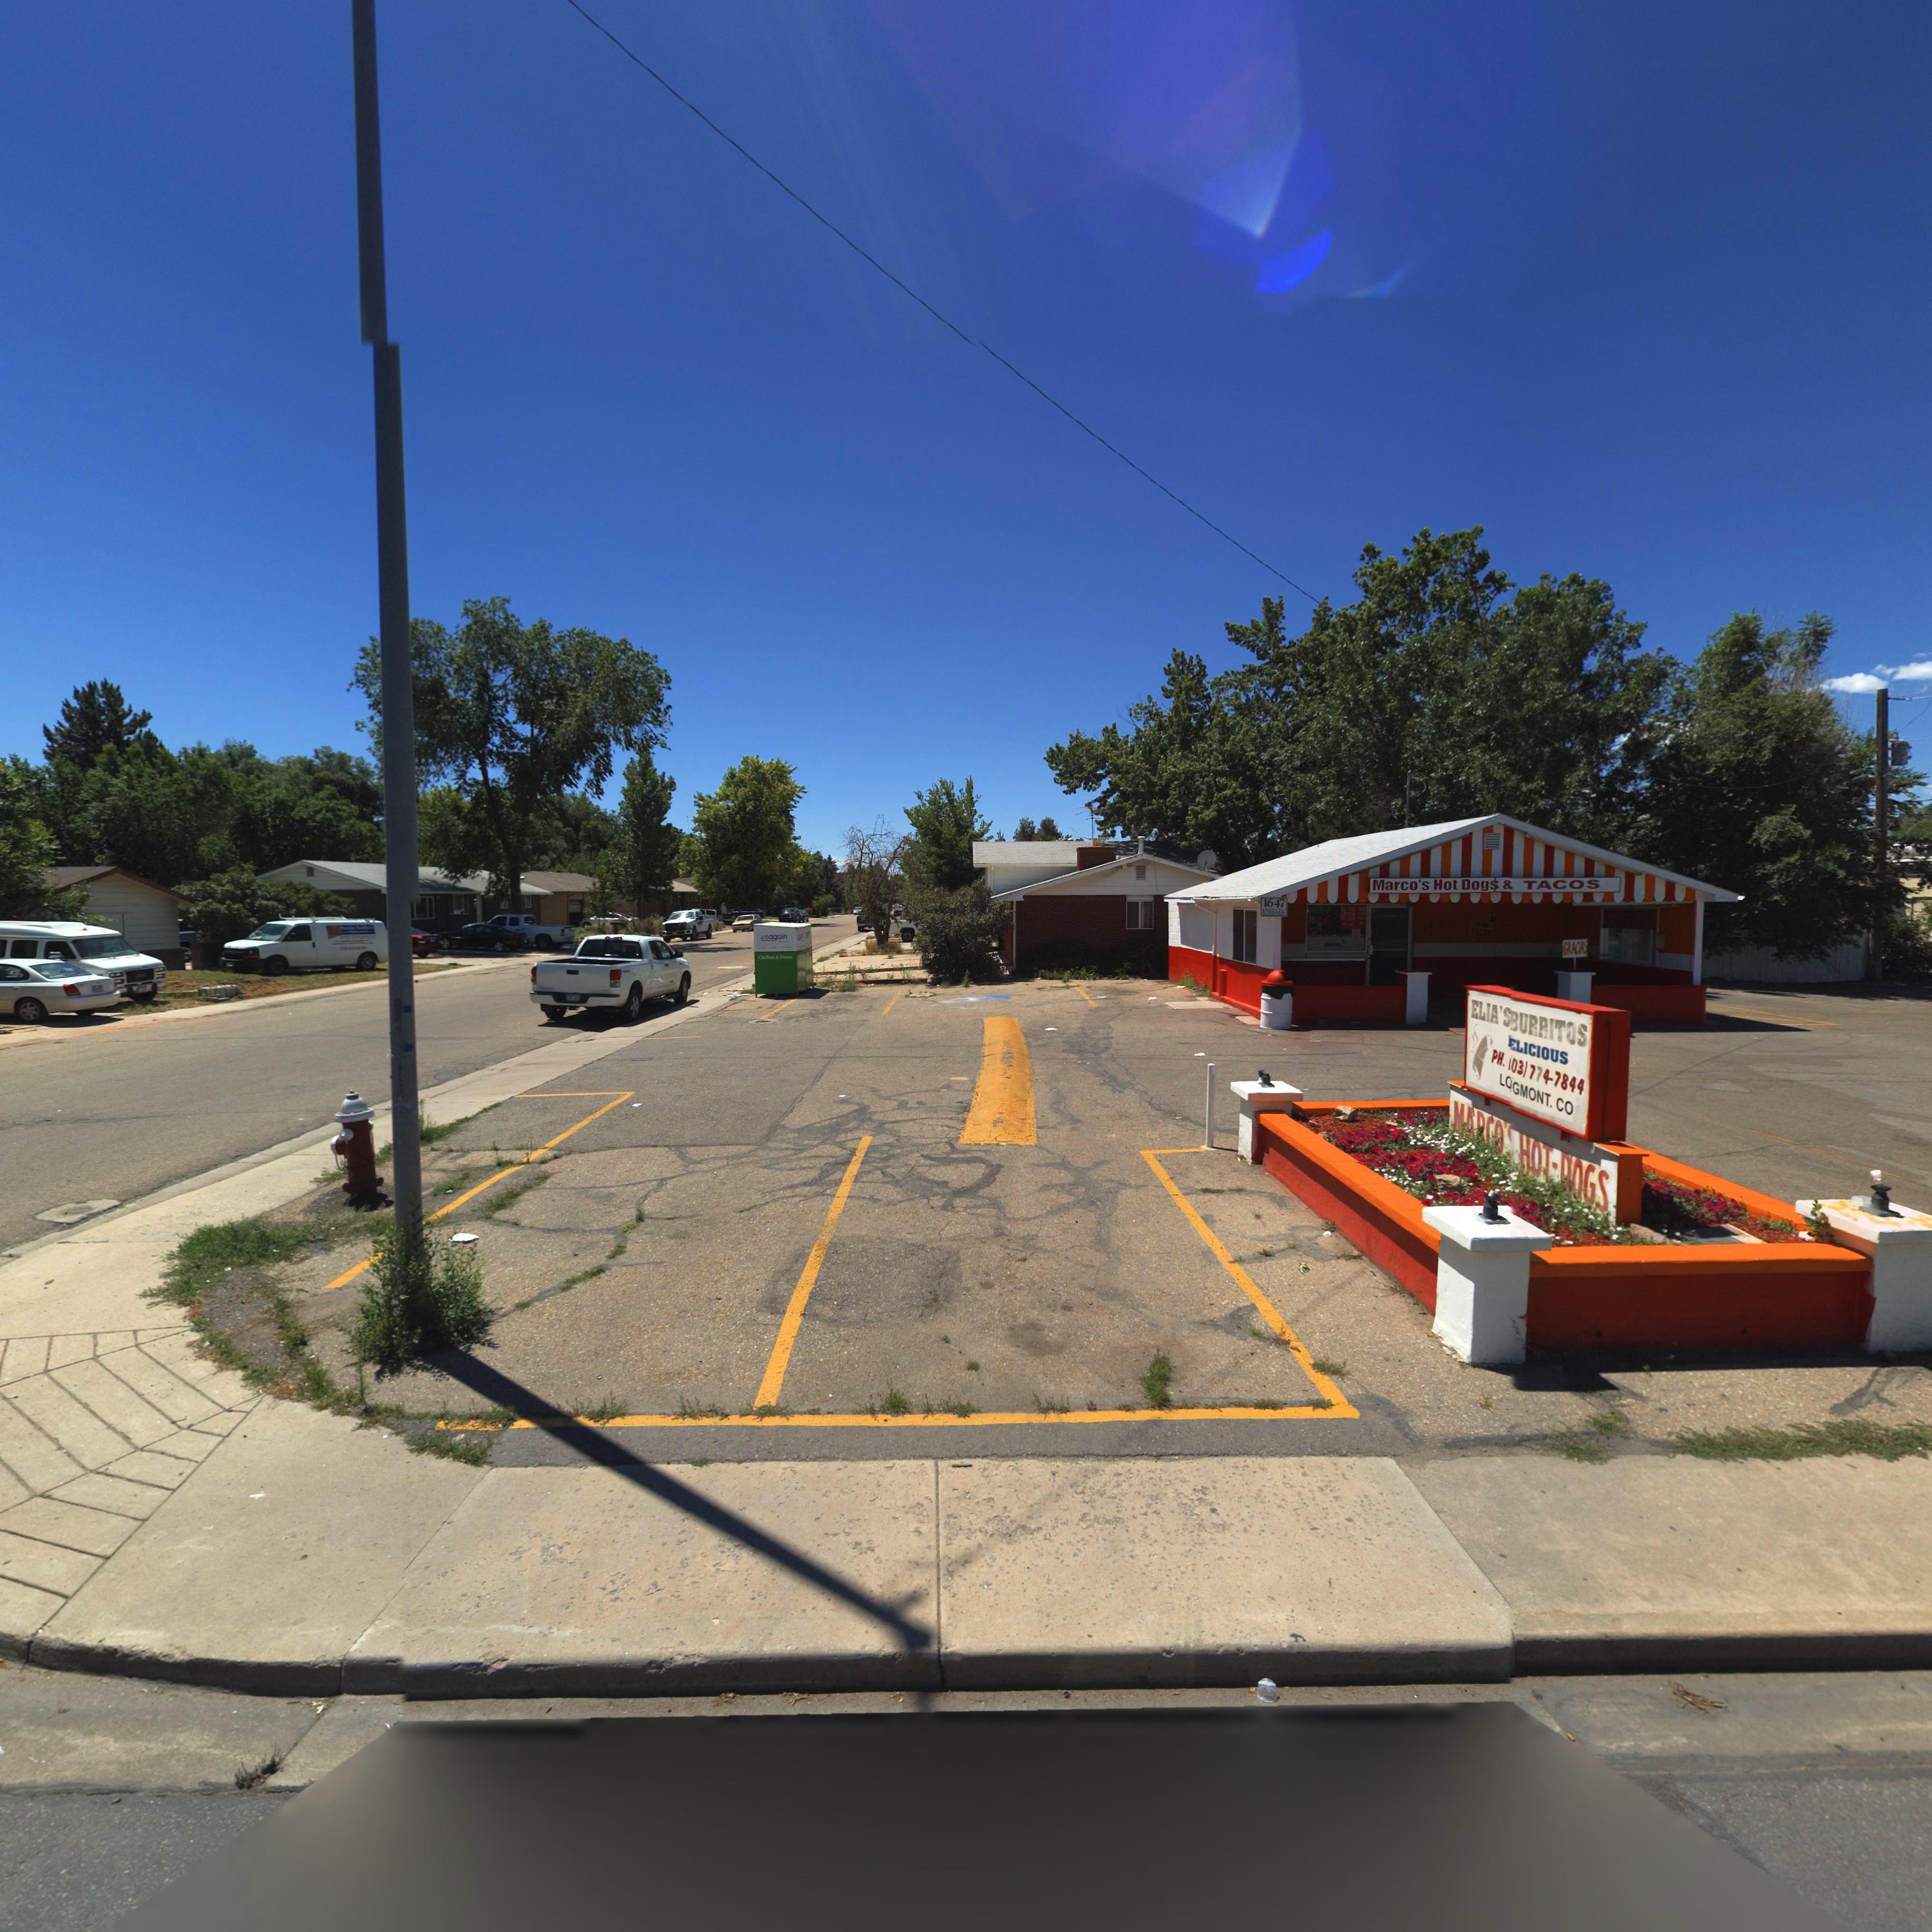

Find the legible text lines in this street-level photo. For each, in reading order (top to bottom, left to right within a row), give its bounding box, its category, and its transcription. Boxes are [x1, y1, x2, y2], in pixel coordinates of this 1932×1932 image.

[1372, 879, 1600, 891] BusinessName: Marco's Hot Dogs & TACOS
[1263, 898, 1285, 908] StreetNumber: 1647
[1262, 908, 1285, 916] StreetName: KIMBARK
[1470, 998, 1589, 1049] BusinessName: ELIA'SBURRITOS
[1452, 1098, 1612, 1216] BusinessName: MA*CO'* HOT-DOGS